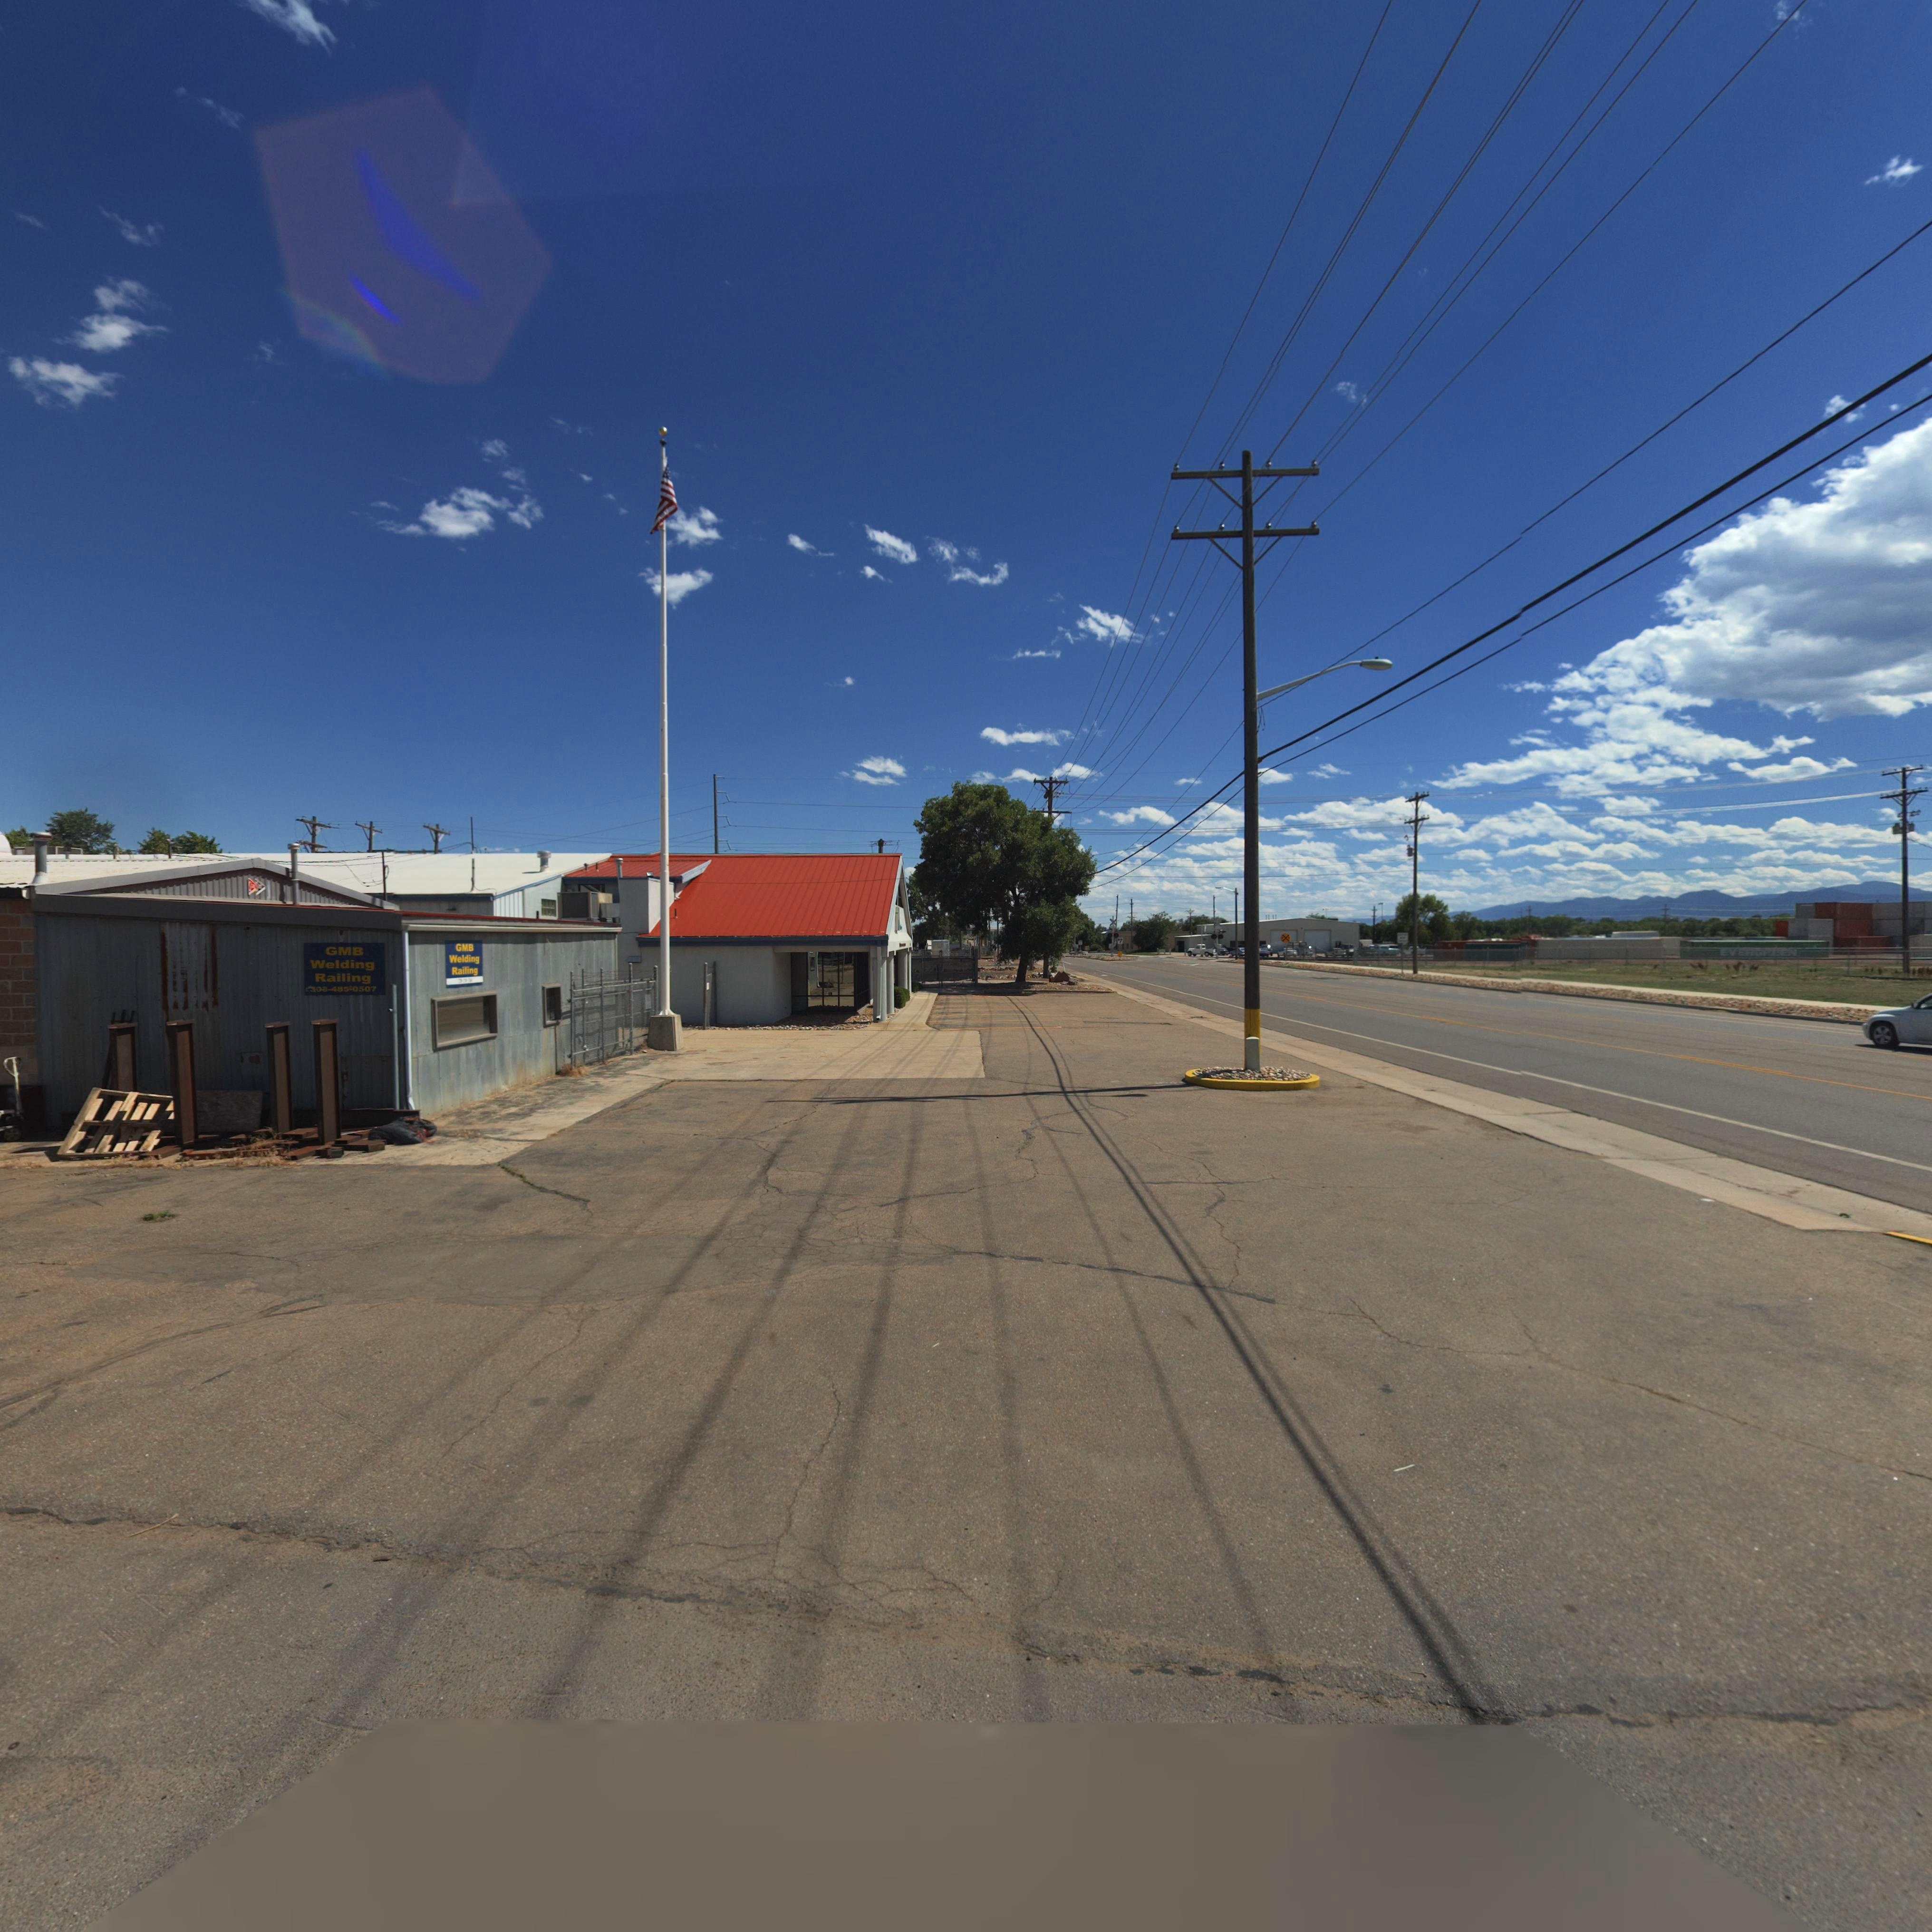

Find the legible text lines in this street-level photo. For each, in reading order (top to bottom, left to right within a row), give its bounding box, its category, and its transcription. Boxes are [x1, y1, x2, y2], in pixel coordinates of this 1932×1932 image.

[325, 946, 364, 956] BusinessName: GMB
[455, 943, 474, 952] BusinessName: GMB
[458, 977, 472, 983] StreetNumber: 335